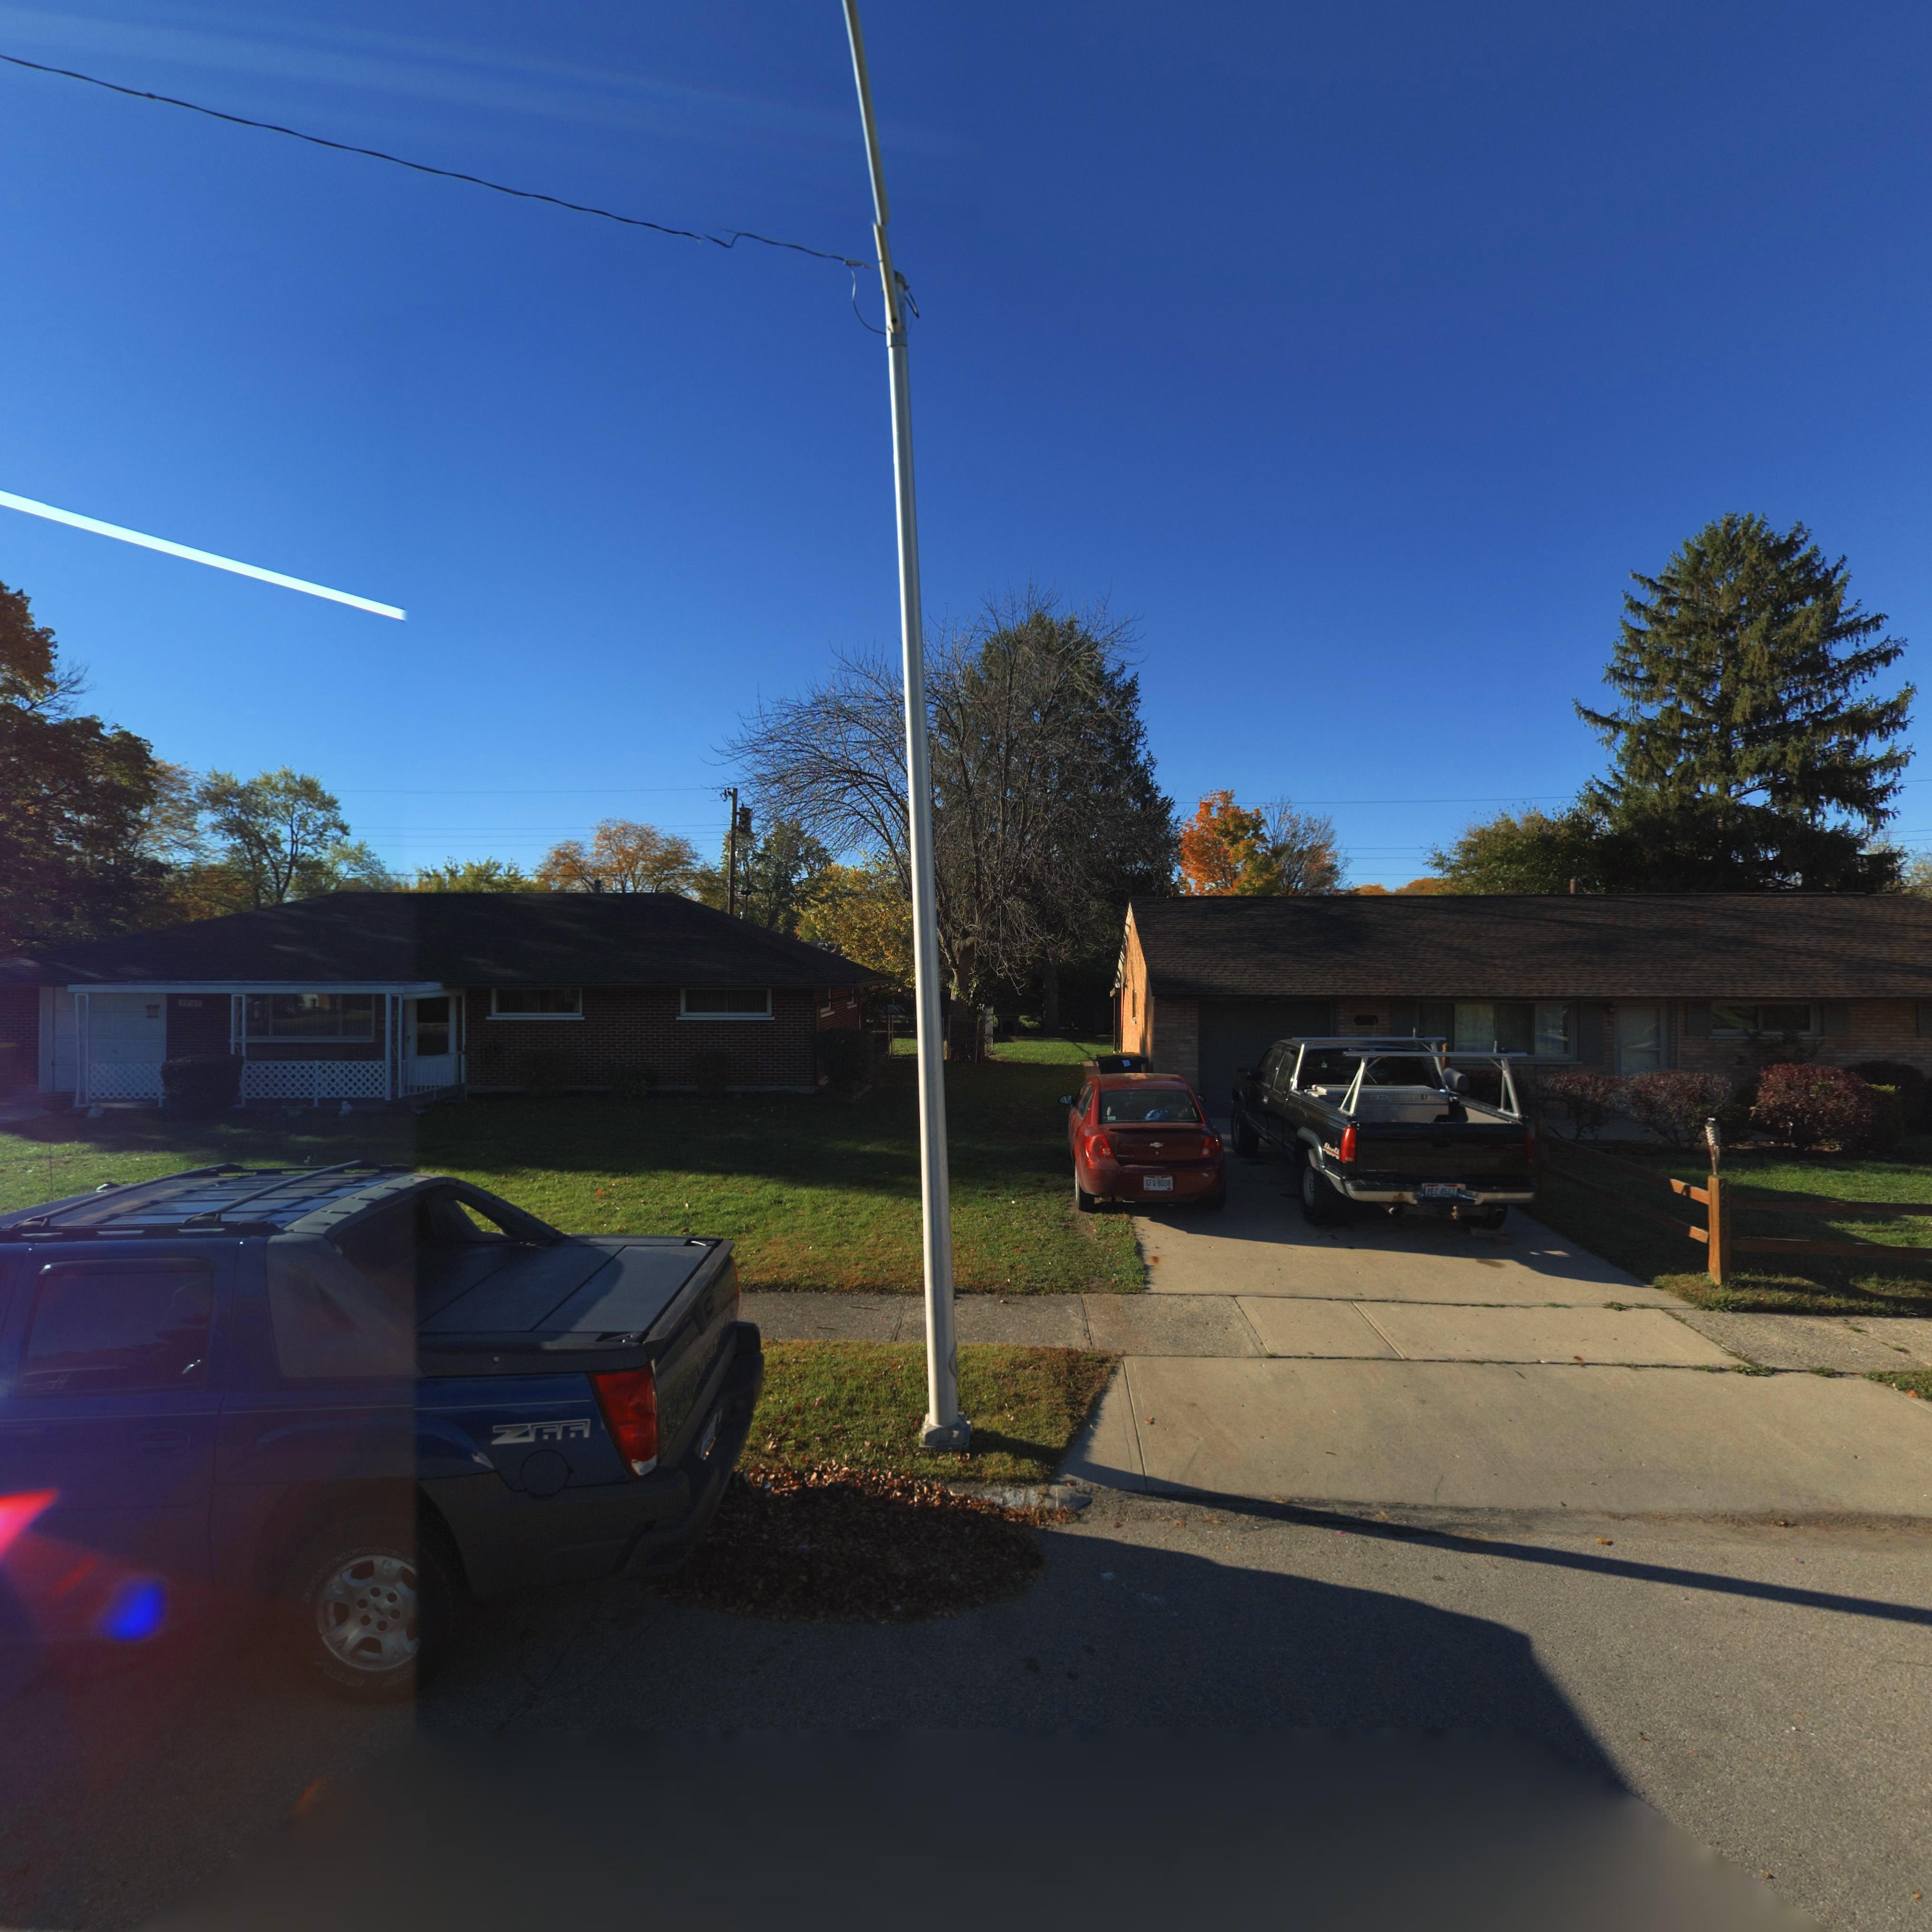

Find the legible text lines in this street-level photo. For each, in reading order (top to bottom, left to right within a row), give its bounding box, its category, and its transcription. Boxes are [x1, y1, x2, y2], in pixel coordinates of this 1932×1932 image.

[180, 1000, 199, 1006] StreetNumber: 4841